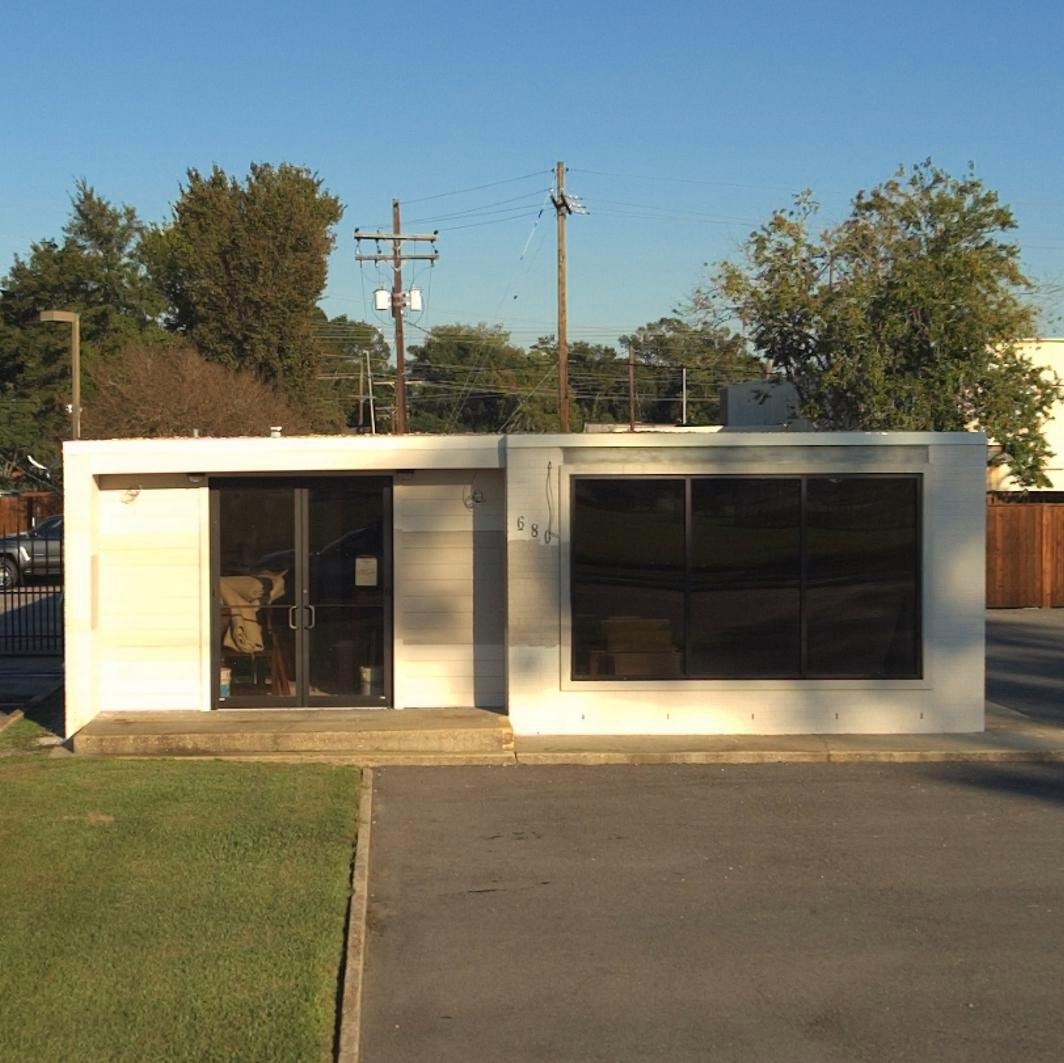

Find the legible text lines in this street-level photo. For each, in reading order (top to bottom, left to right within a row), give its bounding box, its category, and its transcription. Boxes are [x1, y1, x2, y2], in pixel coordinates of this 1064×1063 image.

[517, 515, 552, 545] StreetNumber: 680